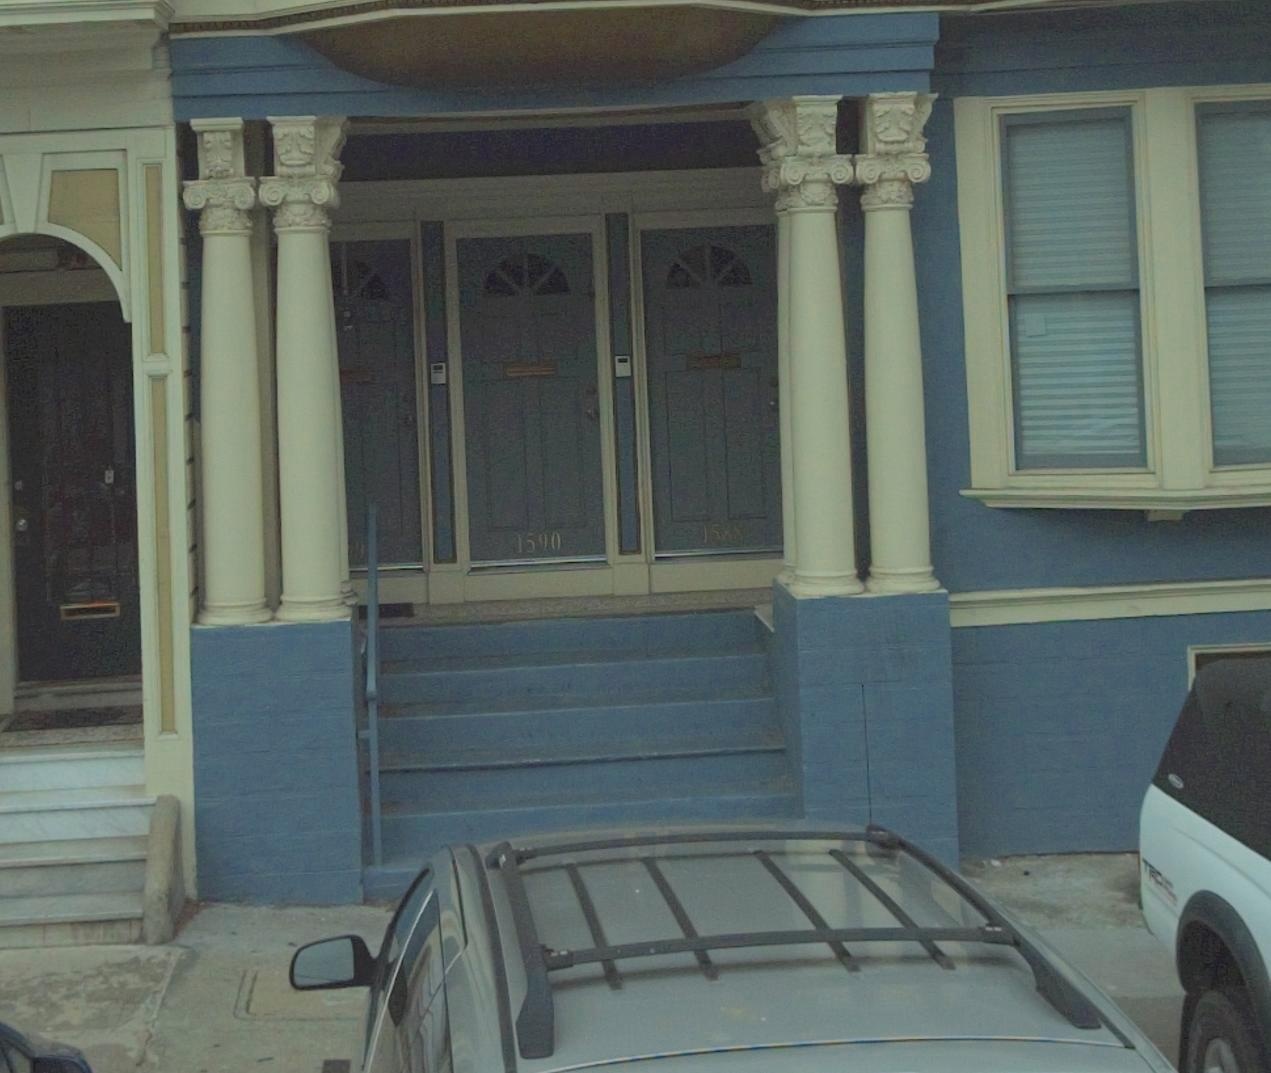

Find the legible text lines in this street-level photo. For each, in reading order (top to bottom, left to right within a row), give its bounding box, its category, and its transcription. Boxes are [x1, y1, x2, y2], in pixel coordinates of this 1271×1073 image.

[353, 537, 365, 560] StreetNumber: 9
[517, 530, 563, 555] StreetNumber: 1590
[703, 523, 747, 546] StreetNumber: 1588